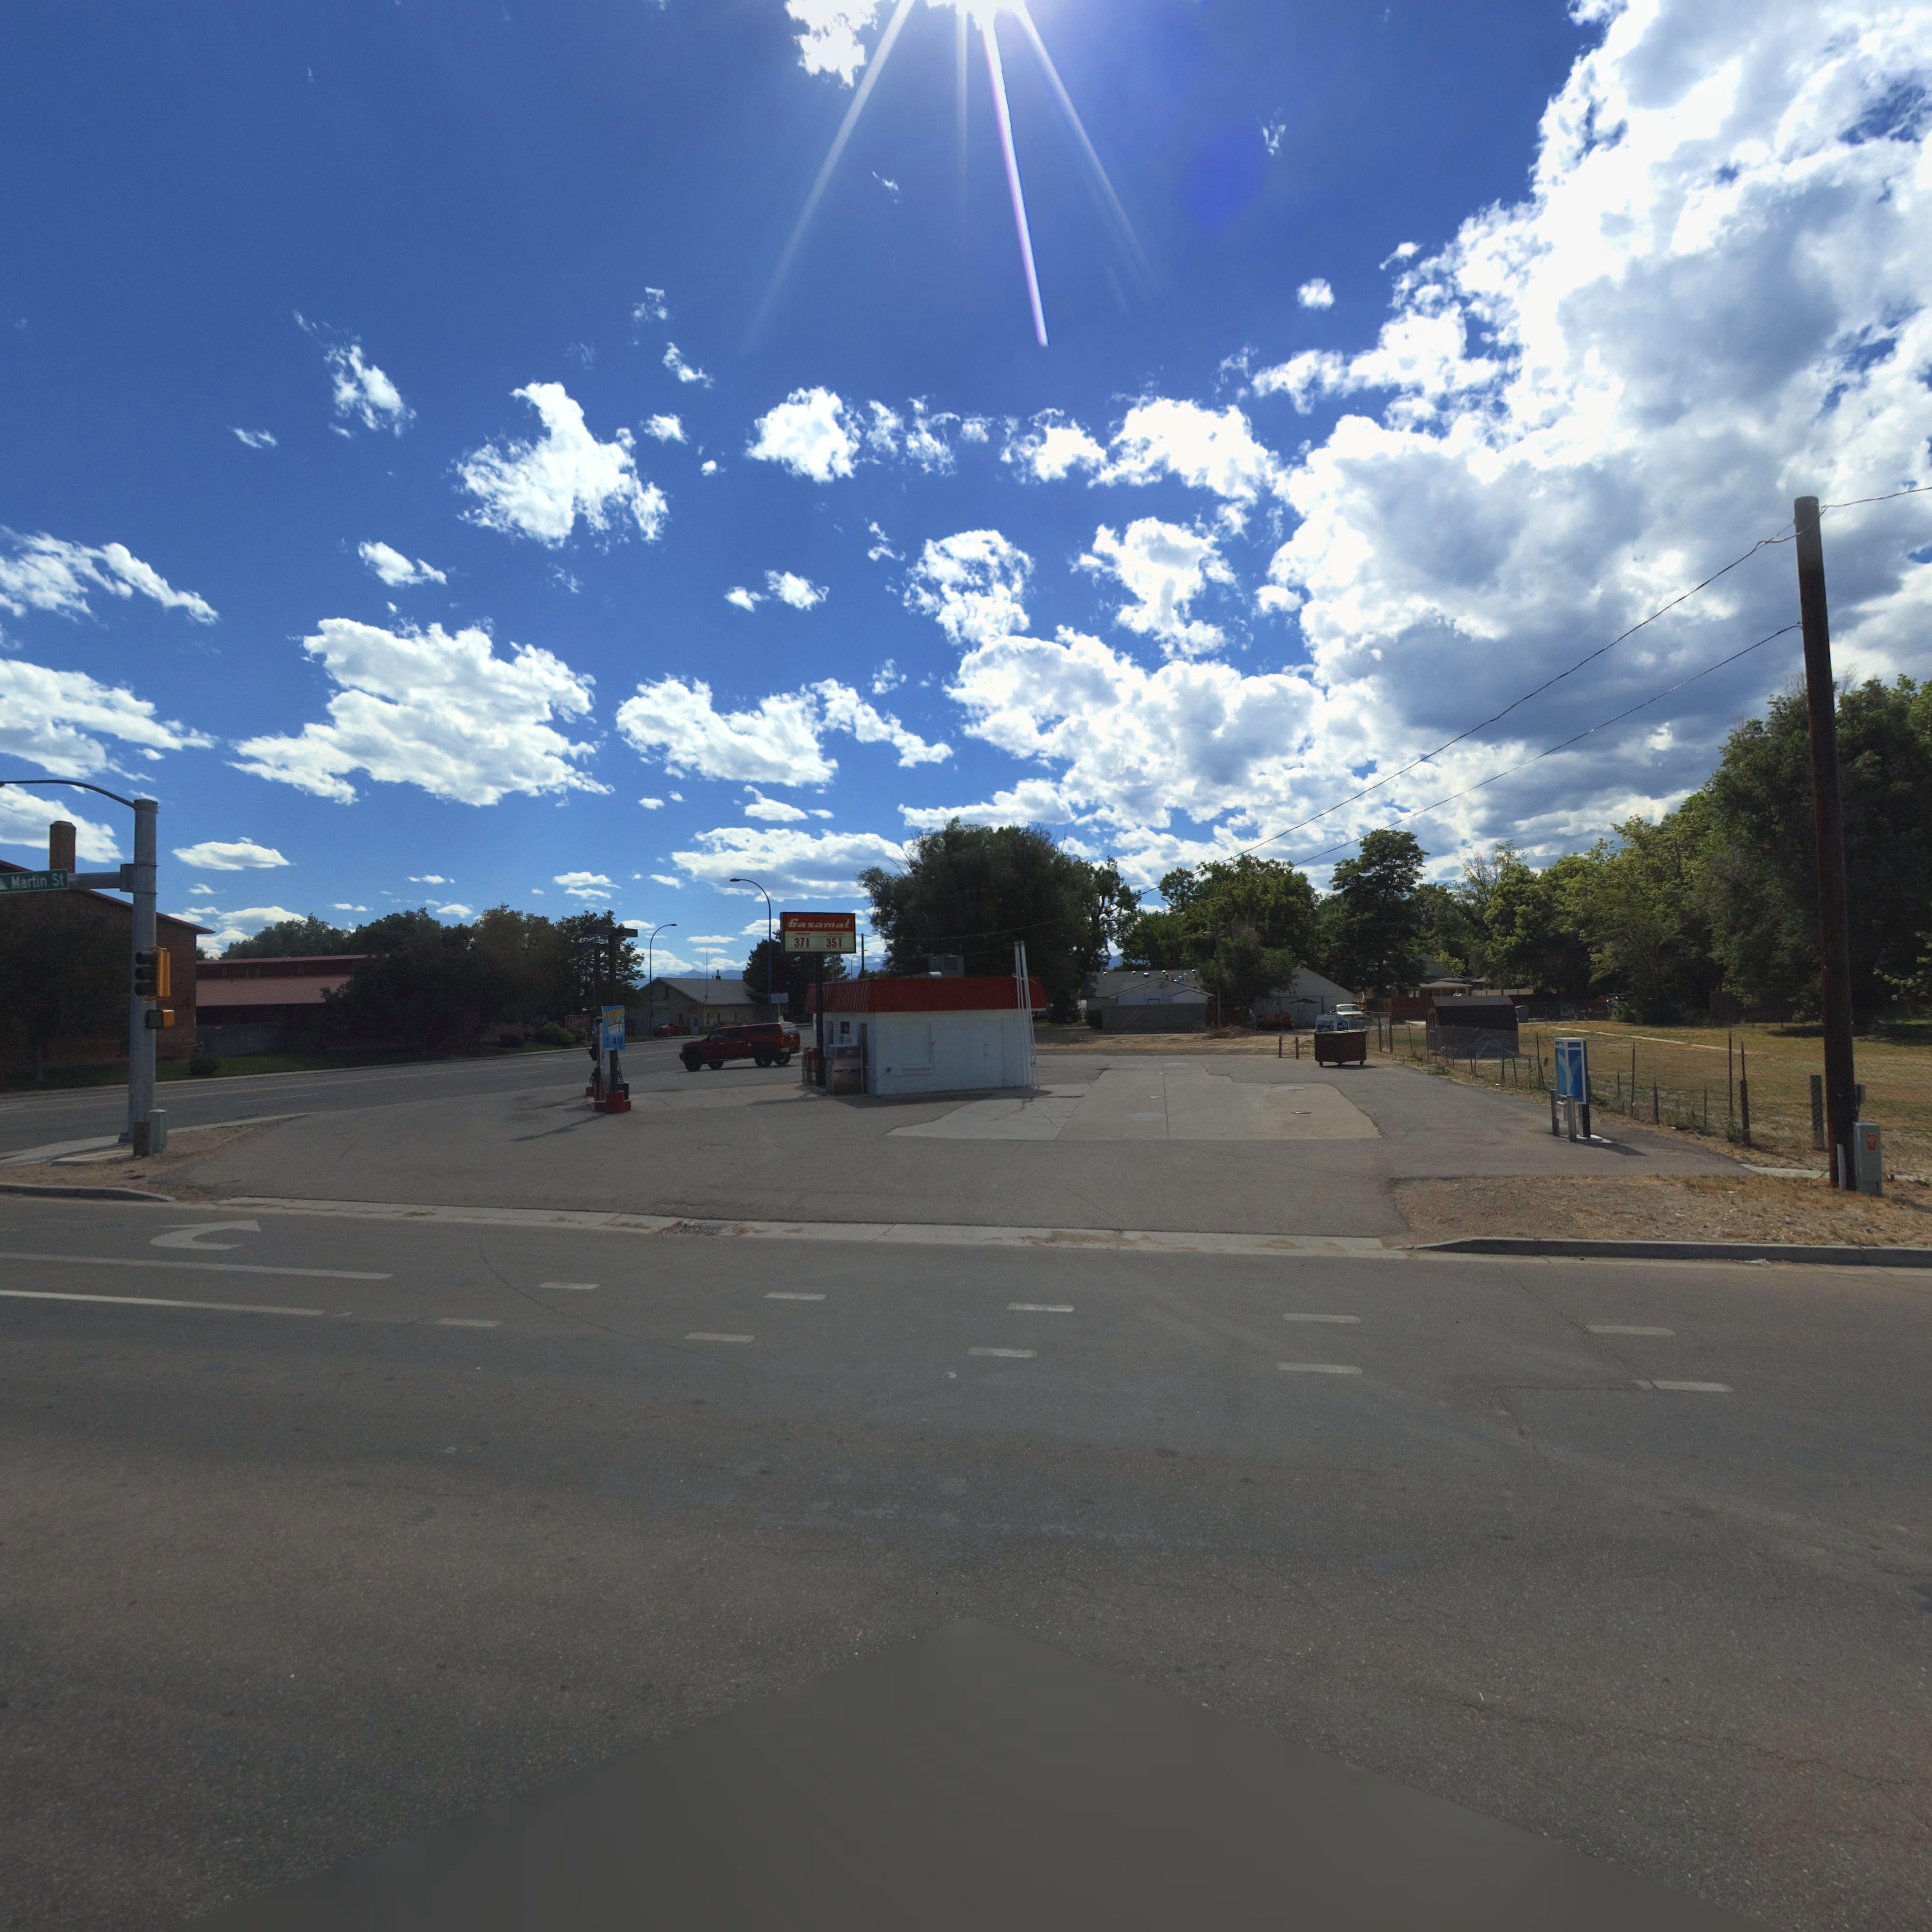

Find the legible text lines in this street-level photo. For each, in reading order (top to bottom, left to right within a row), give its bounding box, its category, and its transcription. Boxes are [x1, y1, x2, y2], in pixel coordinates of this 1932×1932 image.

[10, 872, 65, 889] StreetName: Martin St